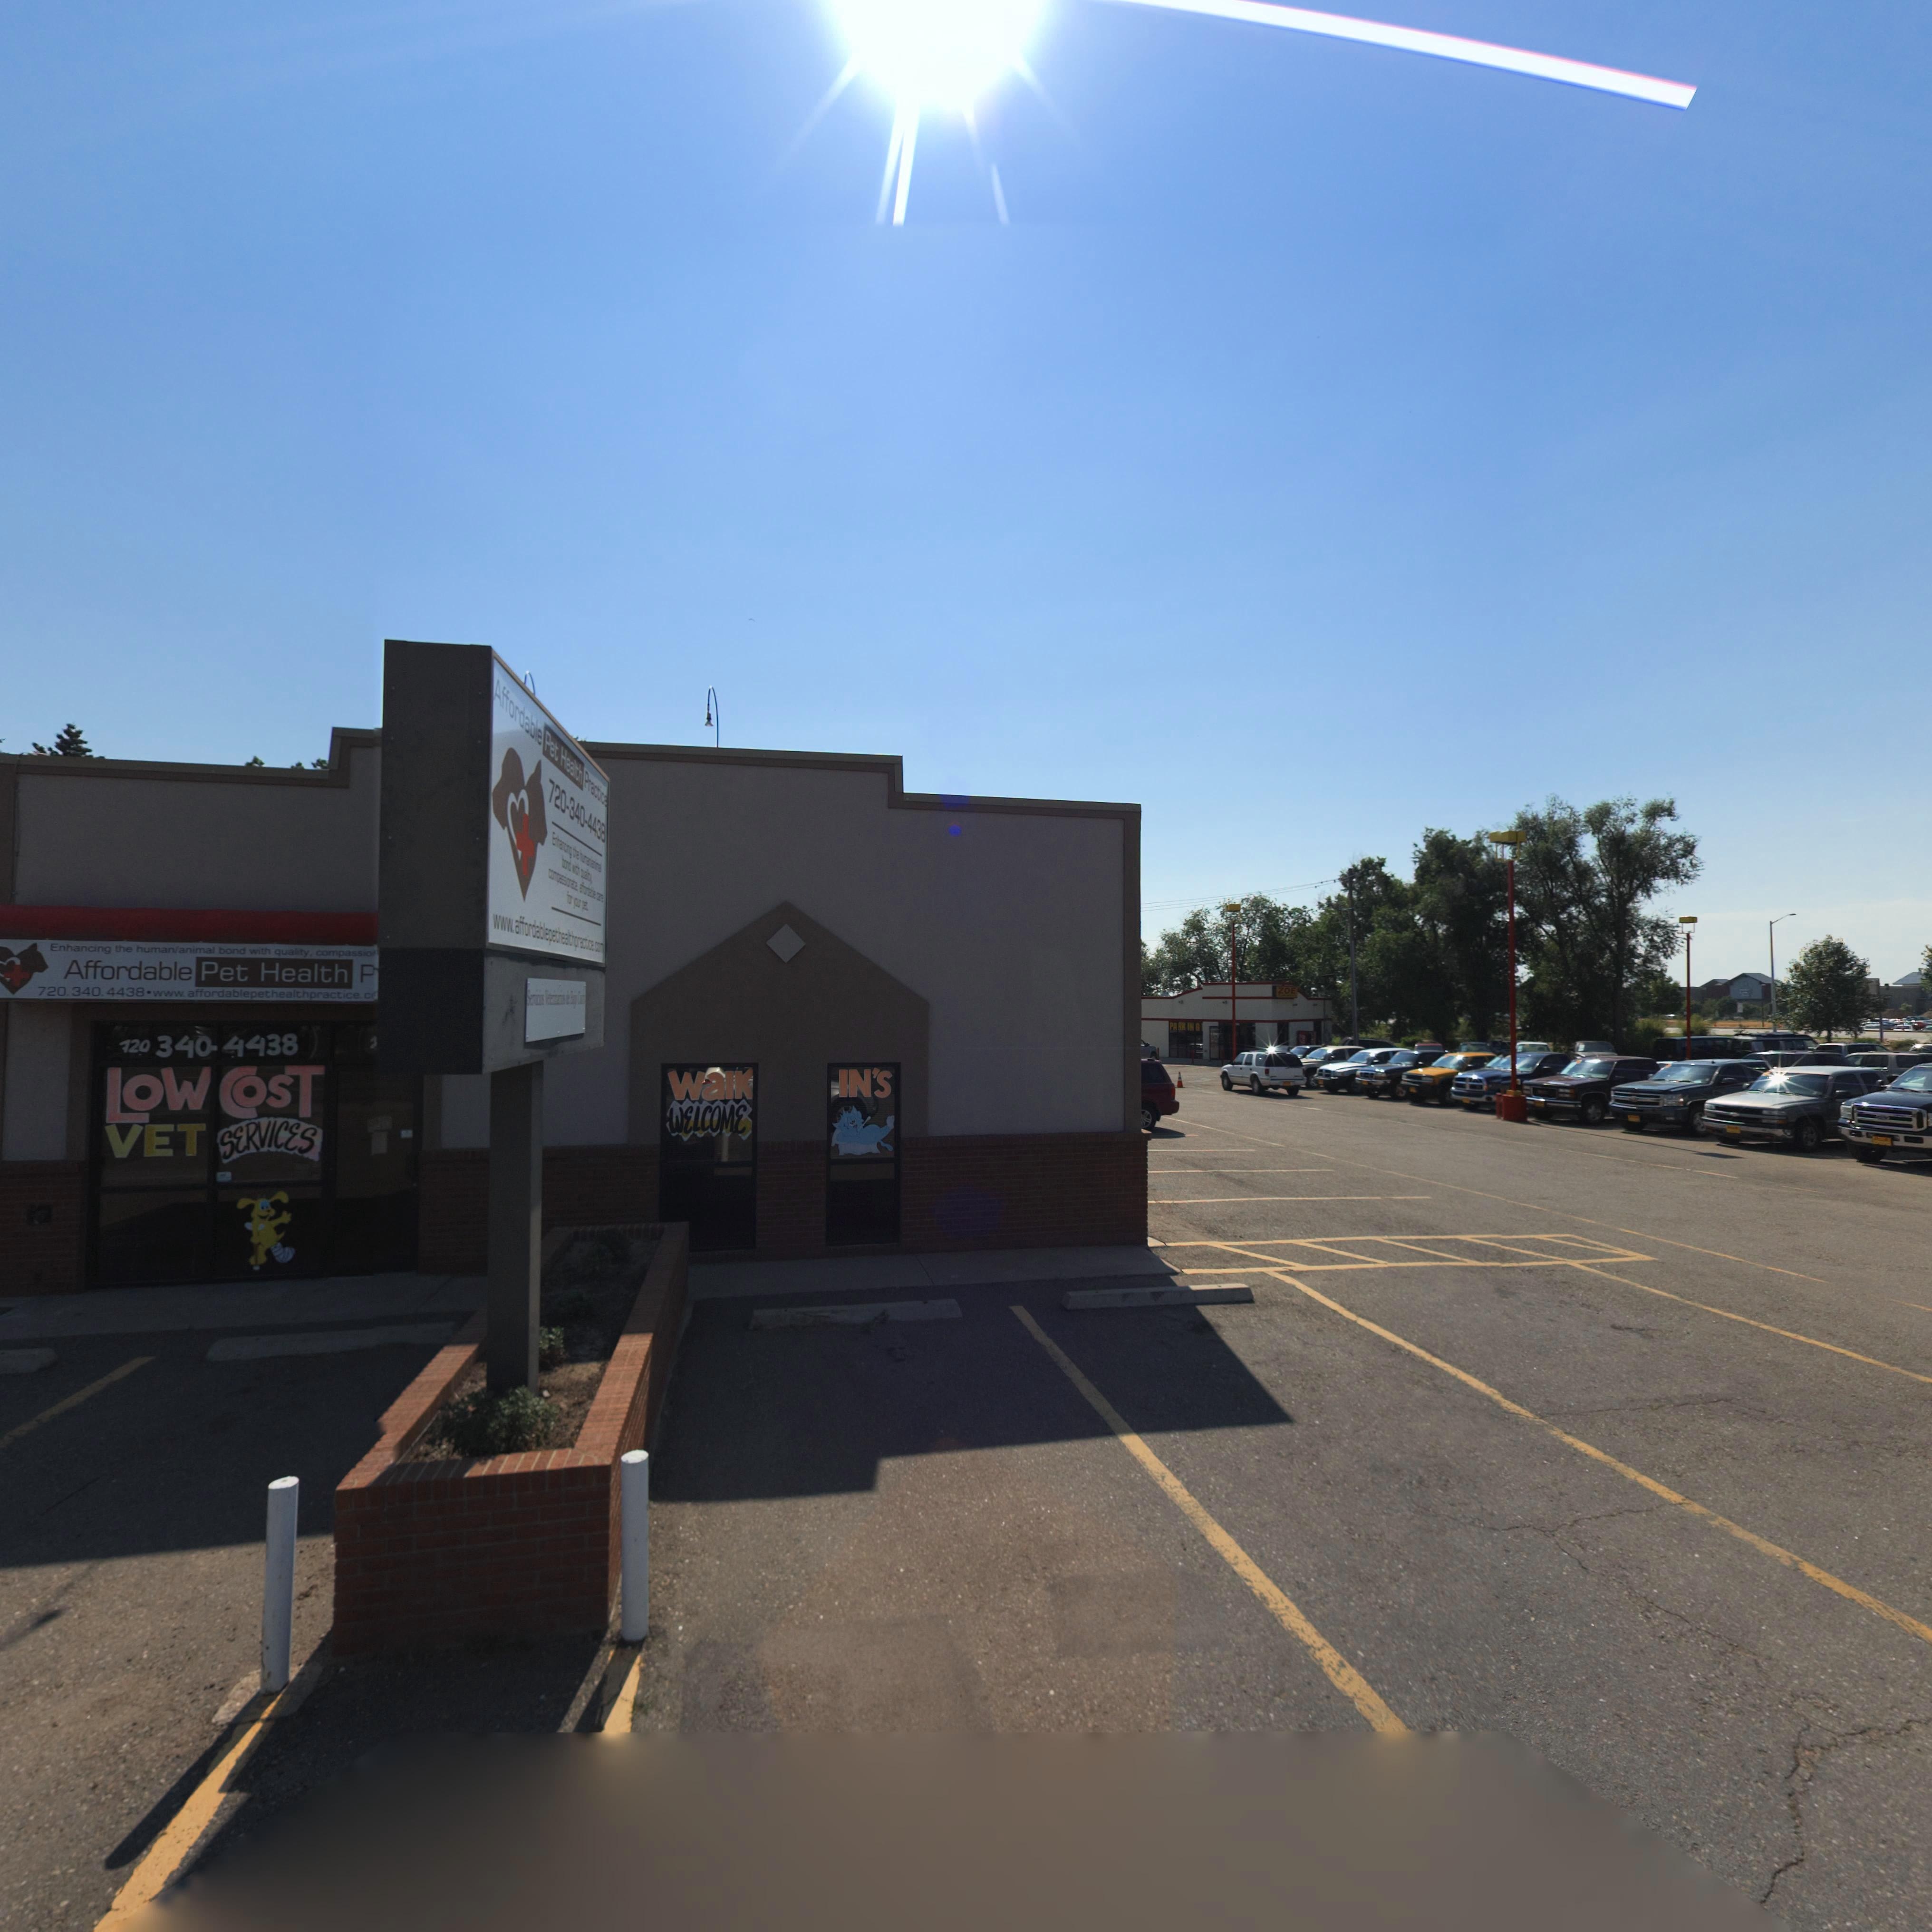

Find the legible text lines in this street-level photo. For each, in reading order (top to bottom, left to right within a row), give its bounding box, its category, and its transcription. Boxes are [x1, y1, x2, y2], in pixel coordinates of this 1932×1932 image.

[492, 678, 608, 809] BusinessName: Affordable Pet Health Practice
[63, 958, 376, 985] BusinessName: Affordable Pet Health P
[1277, 986, 1296, 994] BusinessName: ZOE